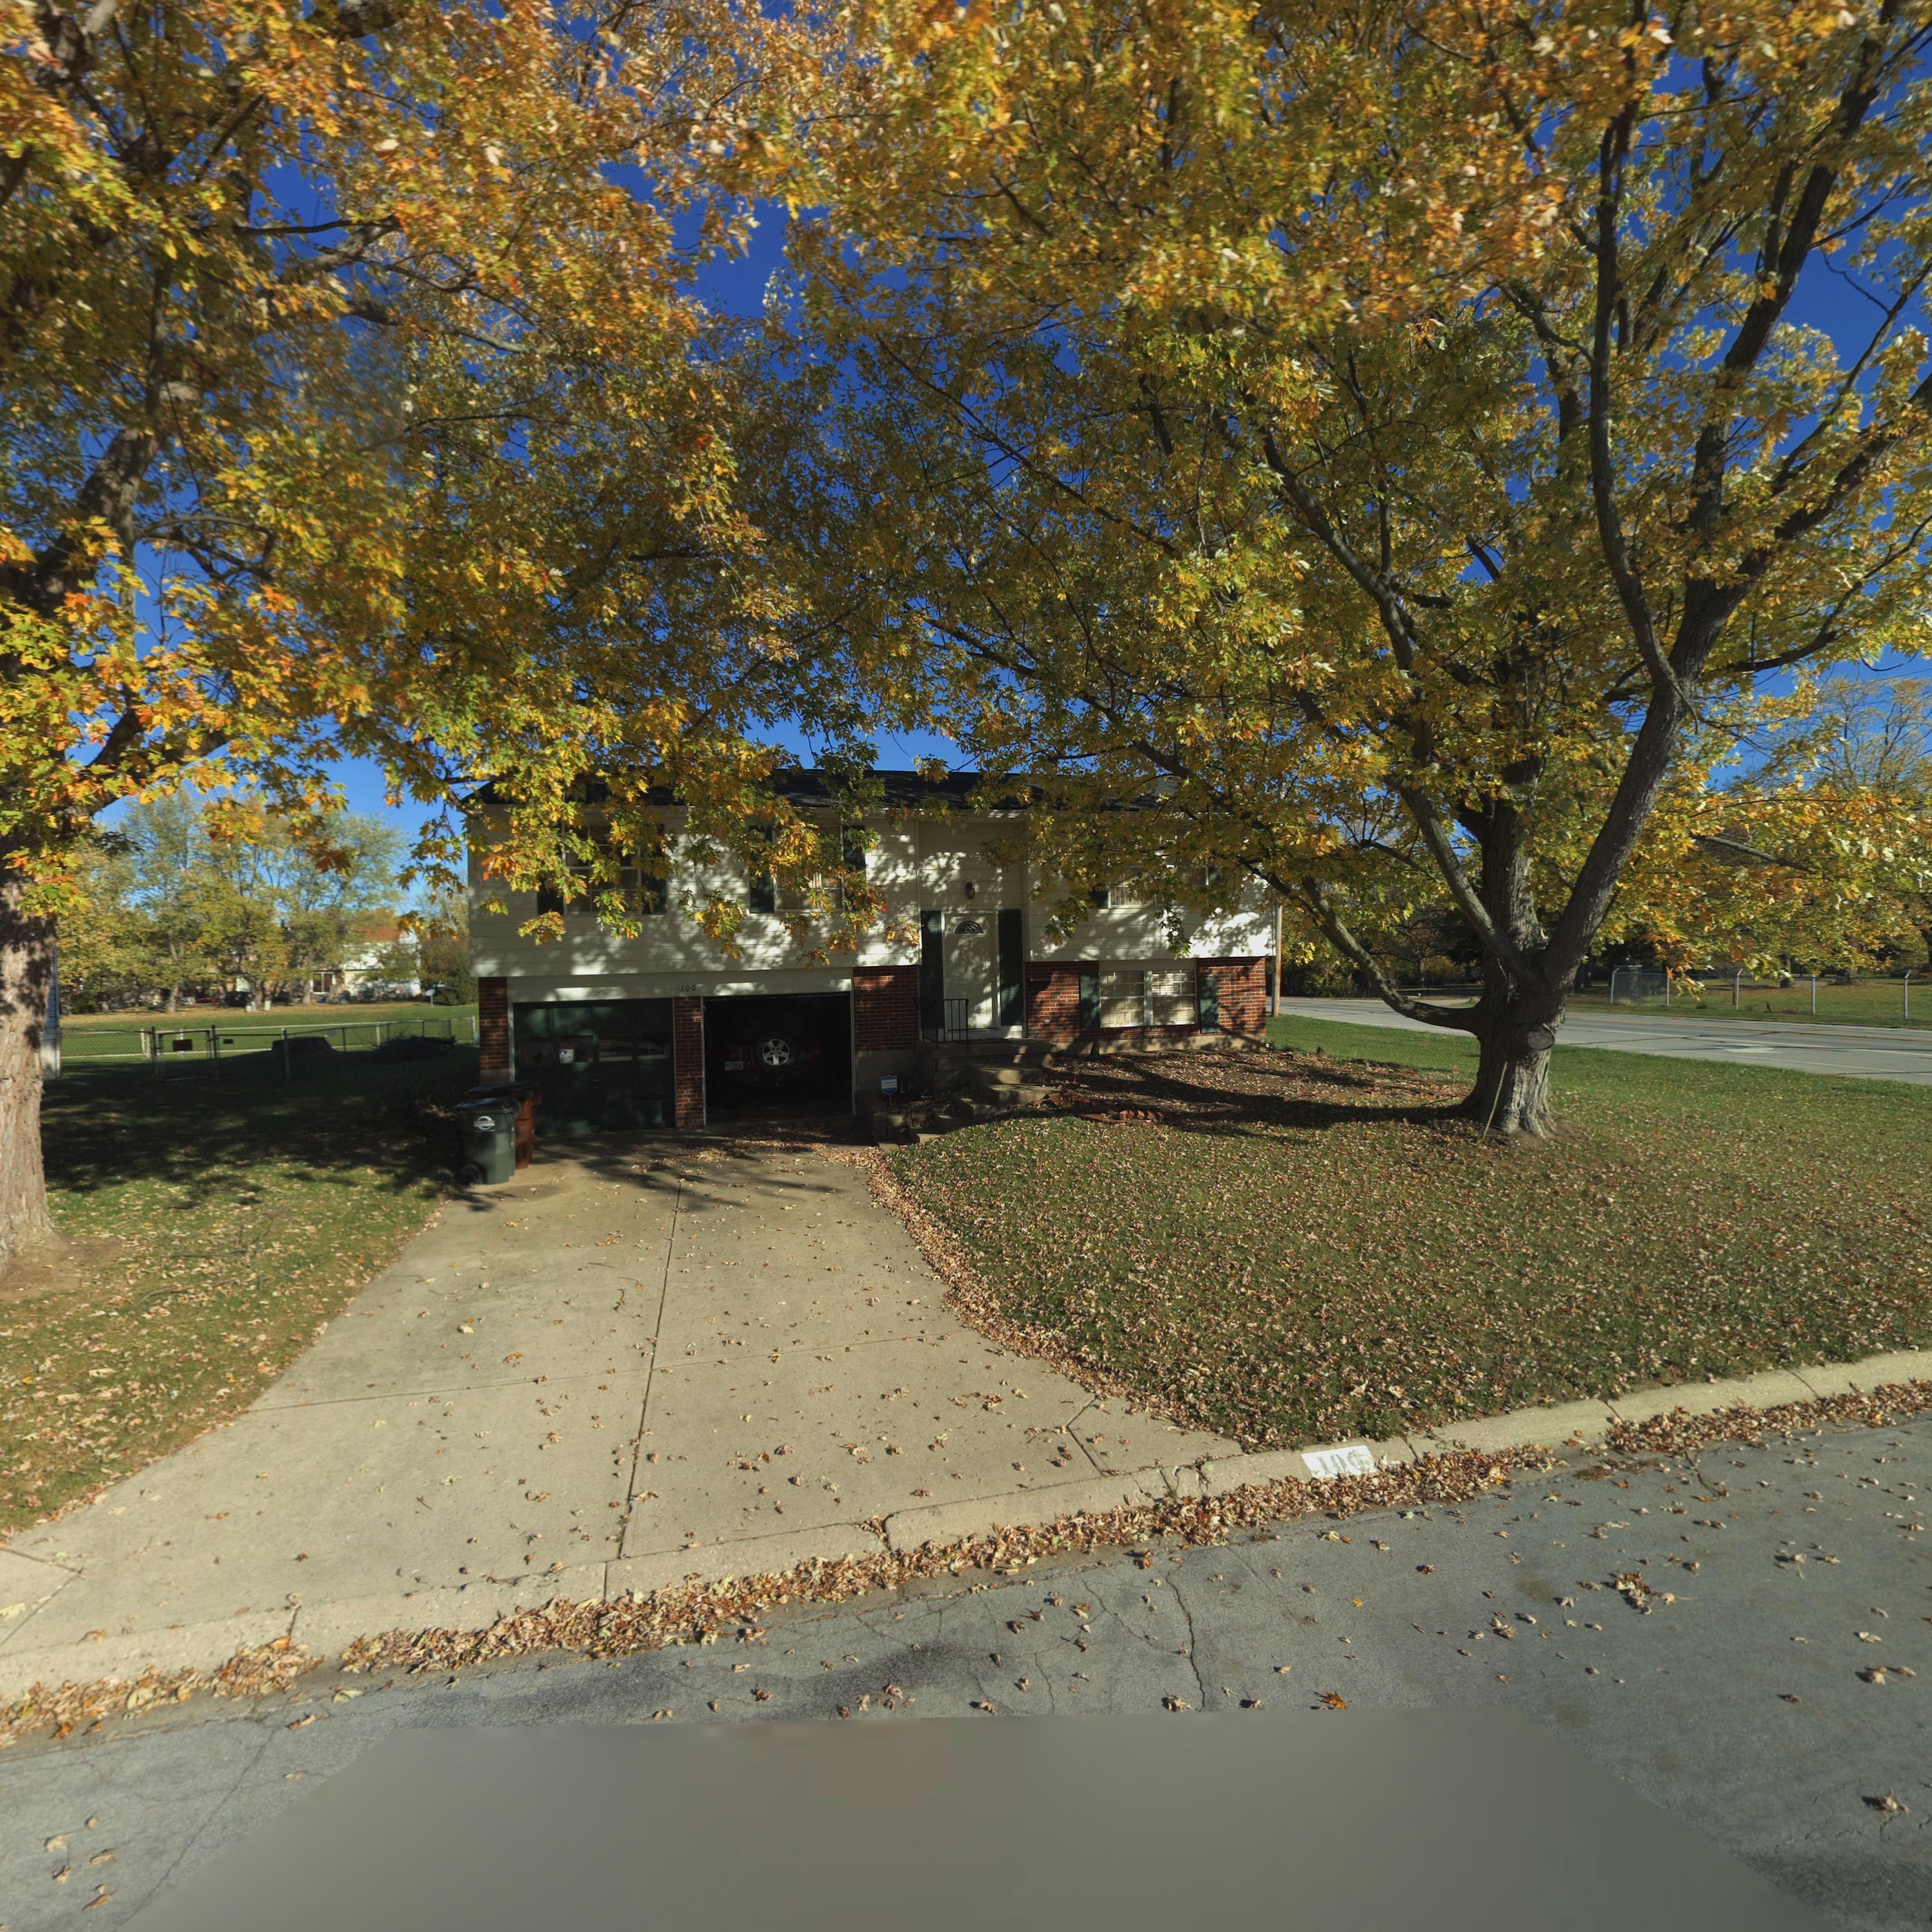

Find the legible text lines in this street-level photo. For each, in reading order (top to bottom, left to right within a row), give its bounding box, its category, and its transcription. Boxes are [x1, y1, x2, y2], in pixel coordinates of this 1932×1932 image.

[680, 984, 697, 992] StreetNumber: 100
[1315, 1450, 1368, 1476] StreetNumber: 100